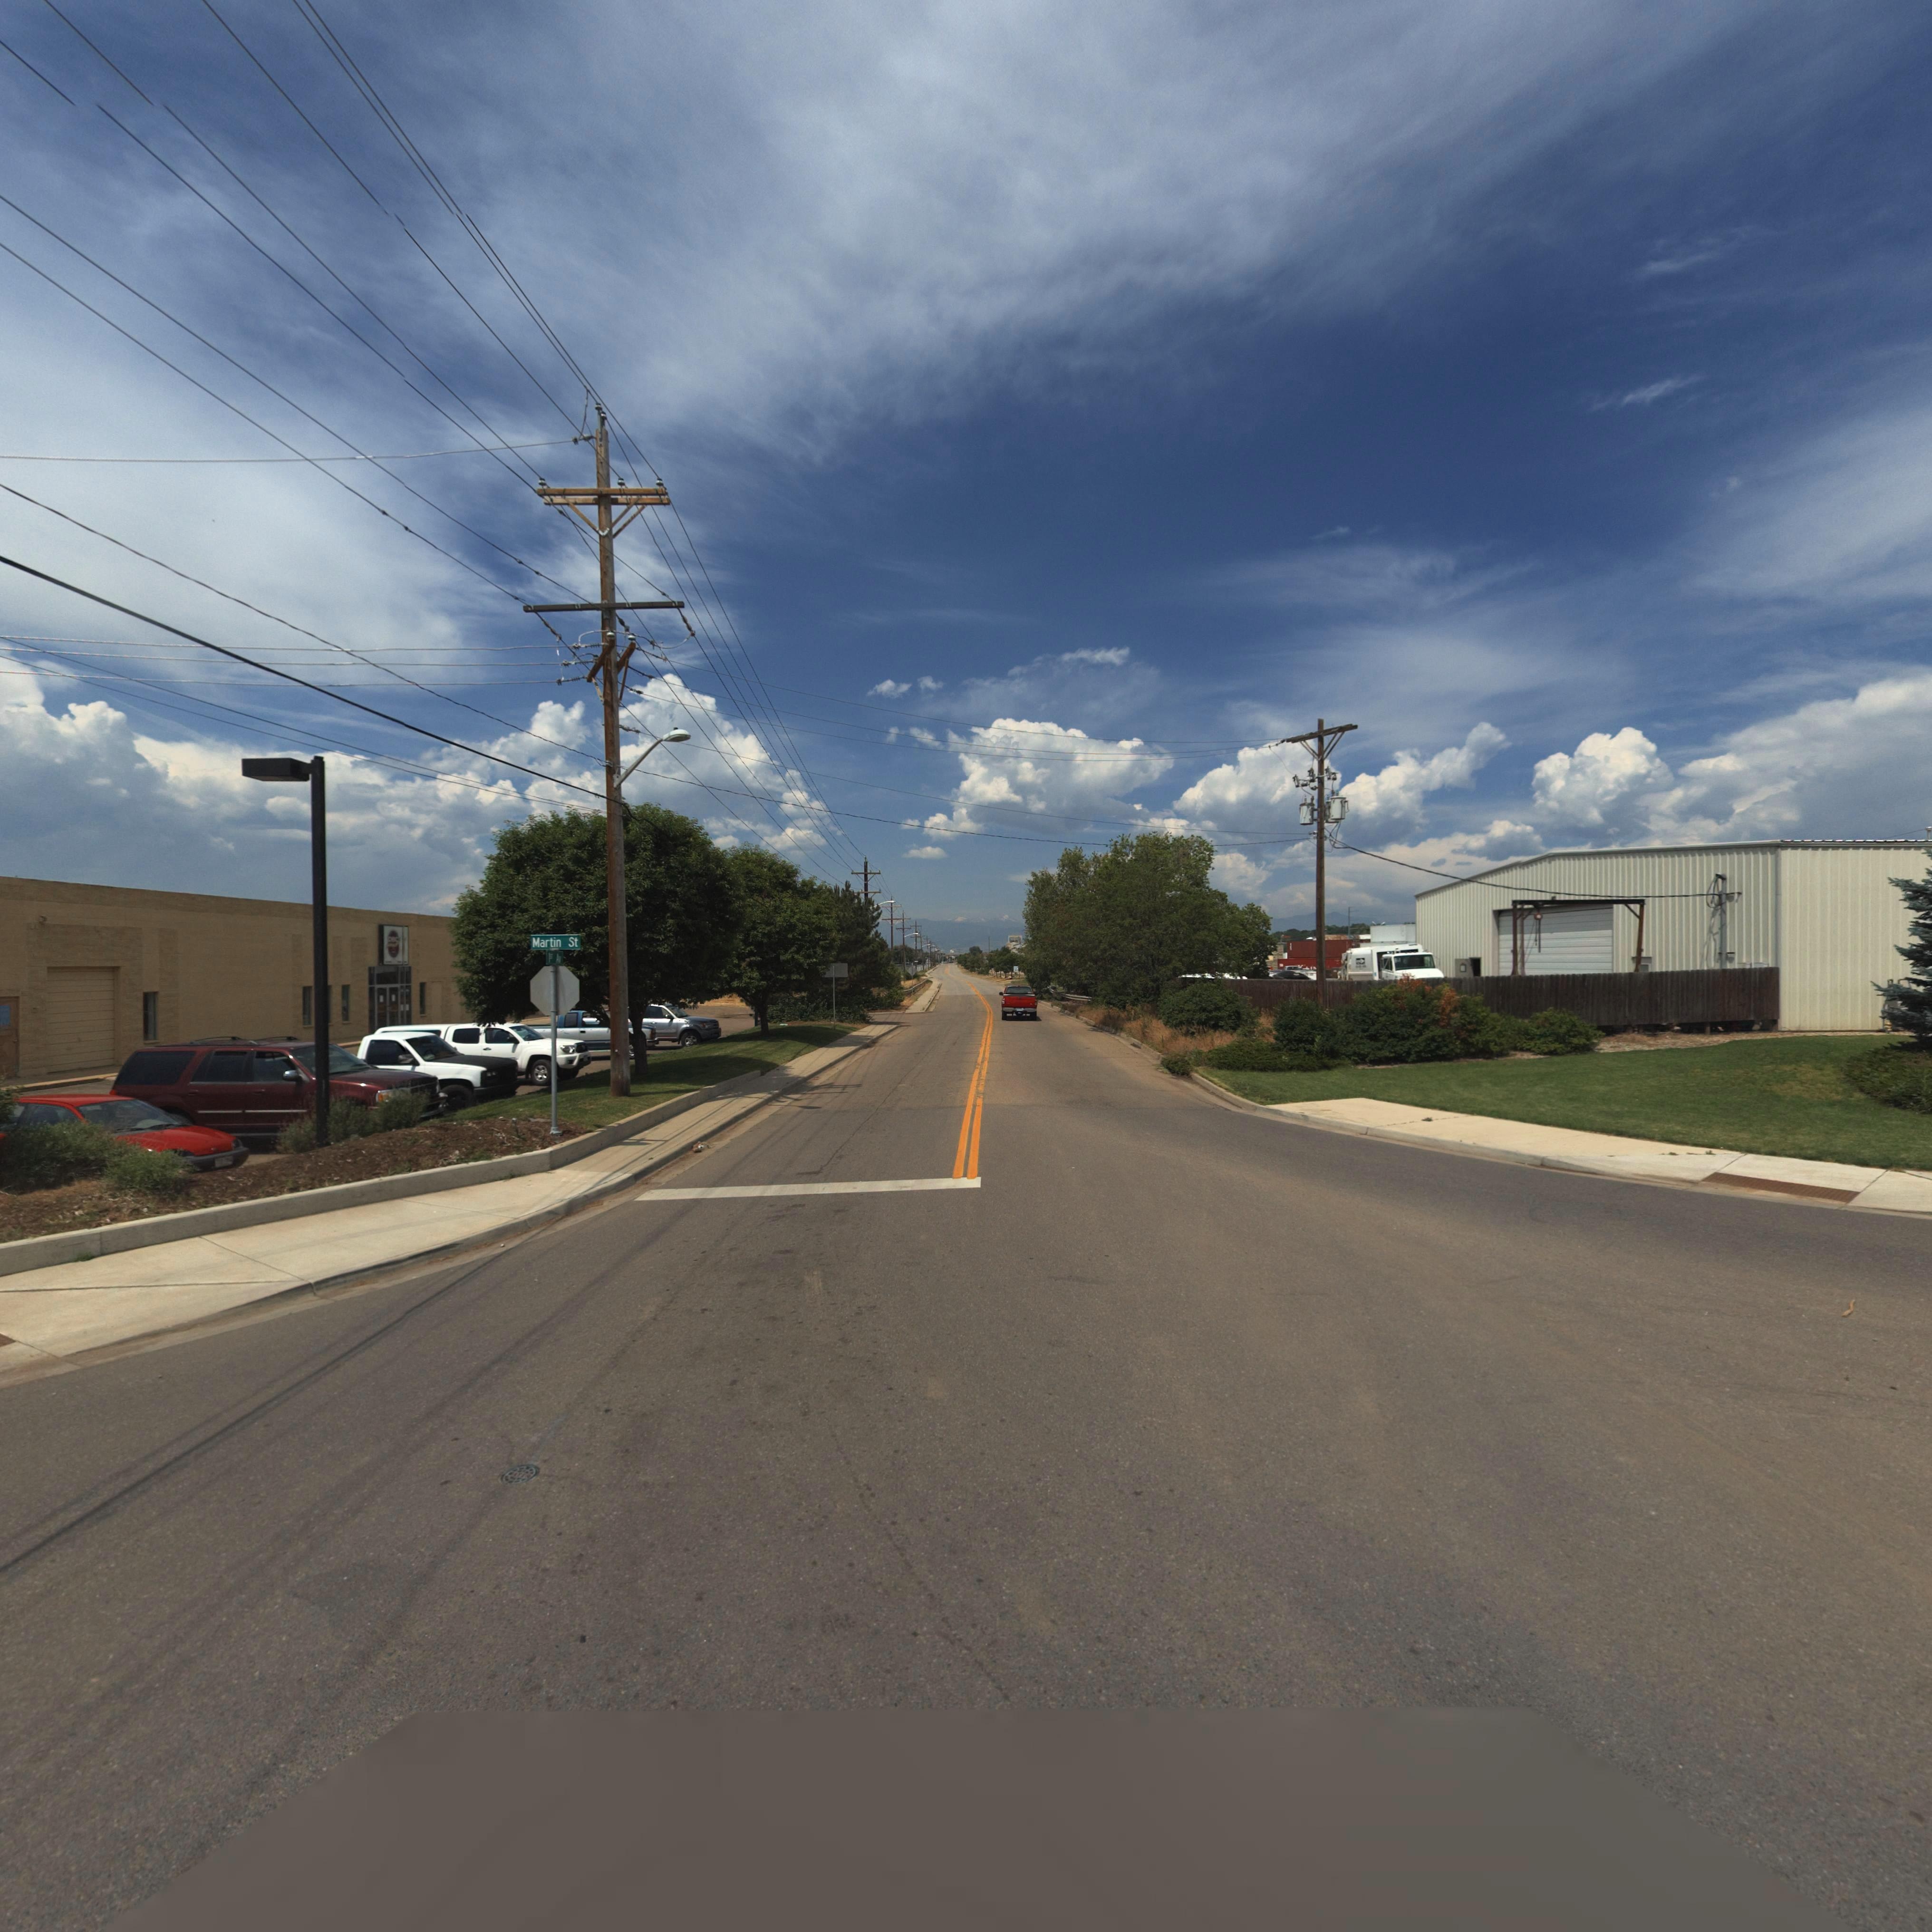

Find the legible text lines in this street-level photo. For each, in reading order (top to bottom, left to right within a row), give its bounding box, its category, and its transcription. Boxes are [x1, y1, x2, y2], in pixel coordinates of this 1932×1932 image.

[387, 936, 399, 942] BusinessName: CBC
[532, 936, 579, 947] StreetName: Martin St
[548, 952, 561, 963] StreetName: 1s* Av